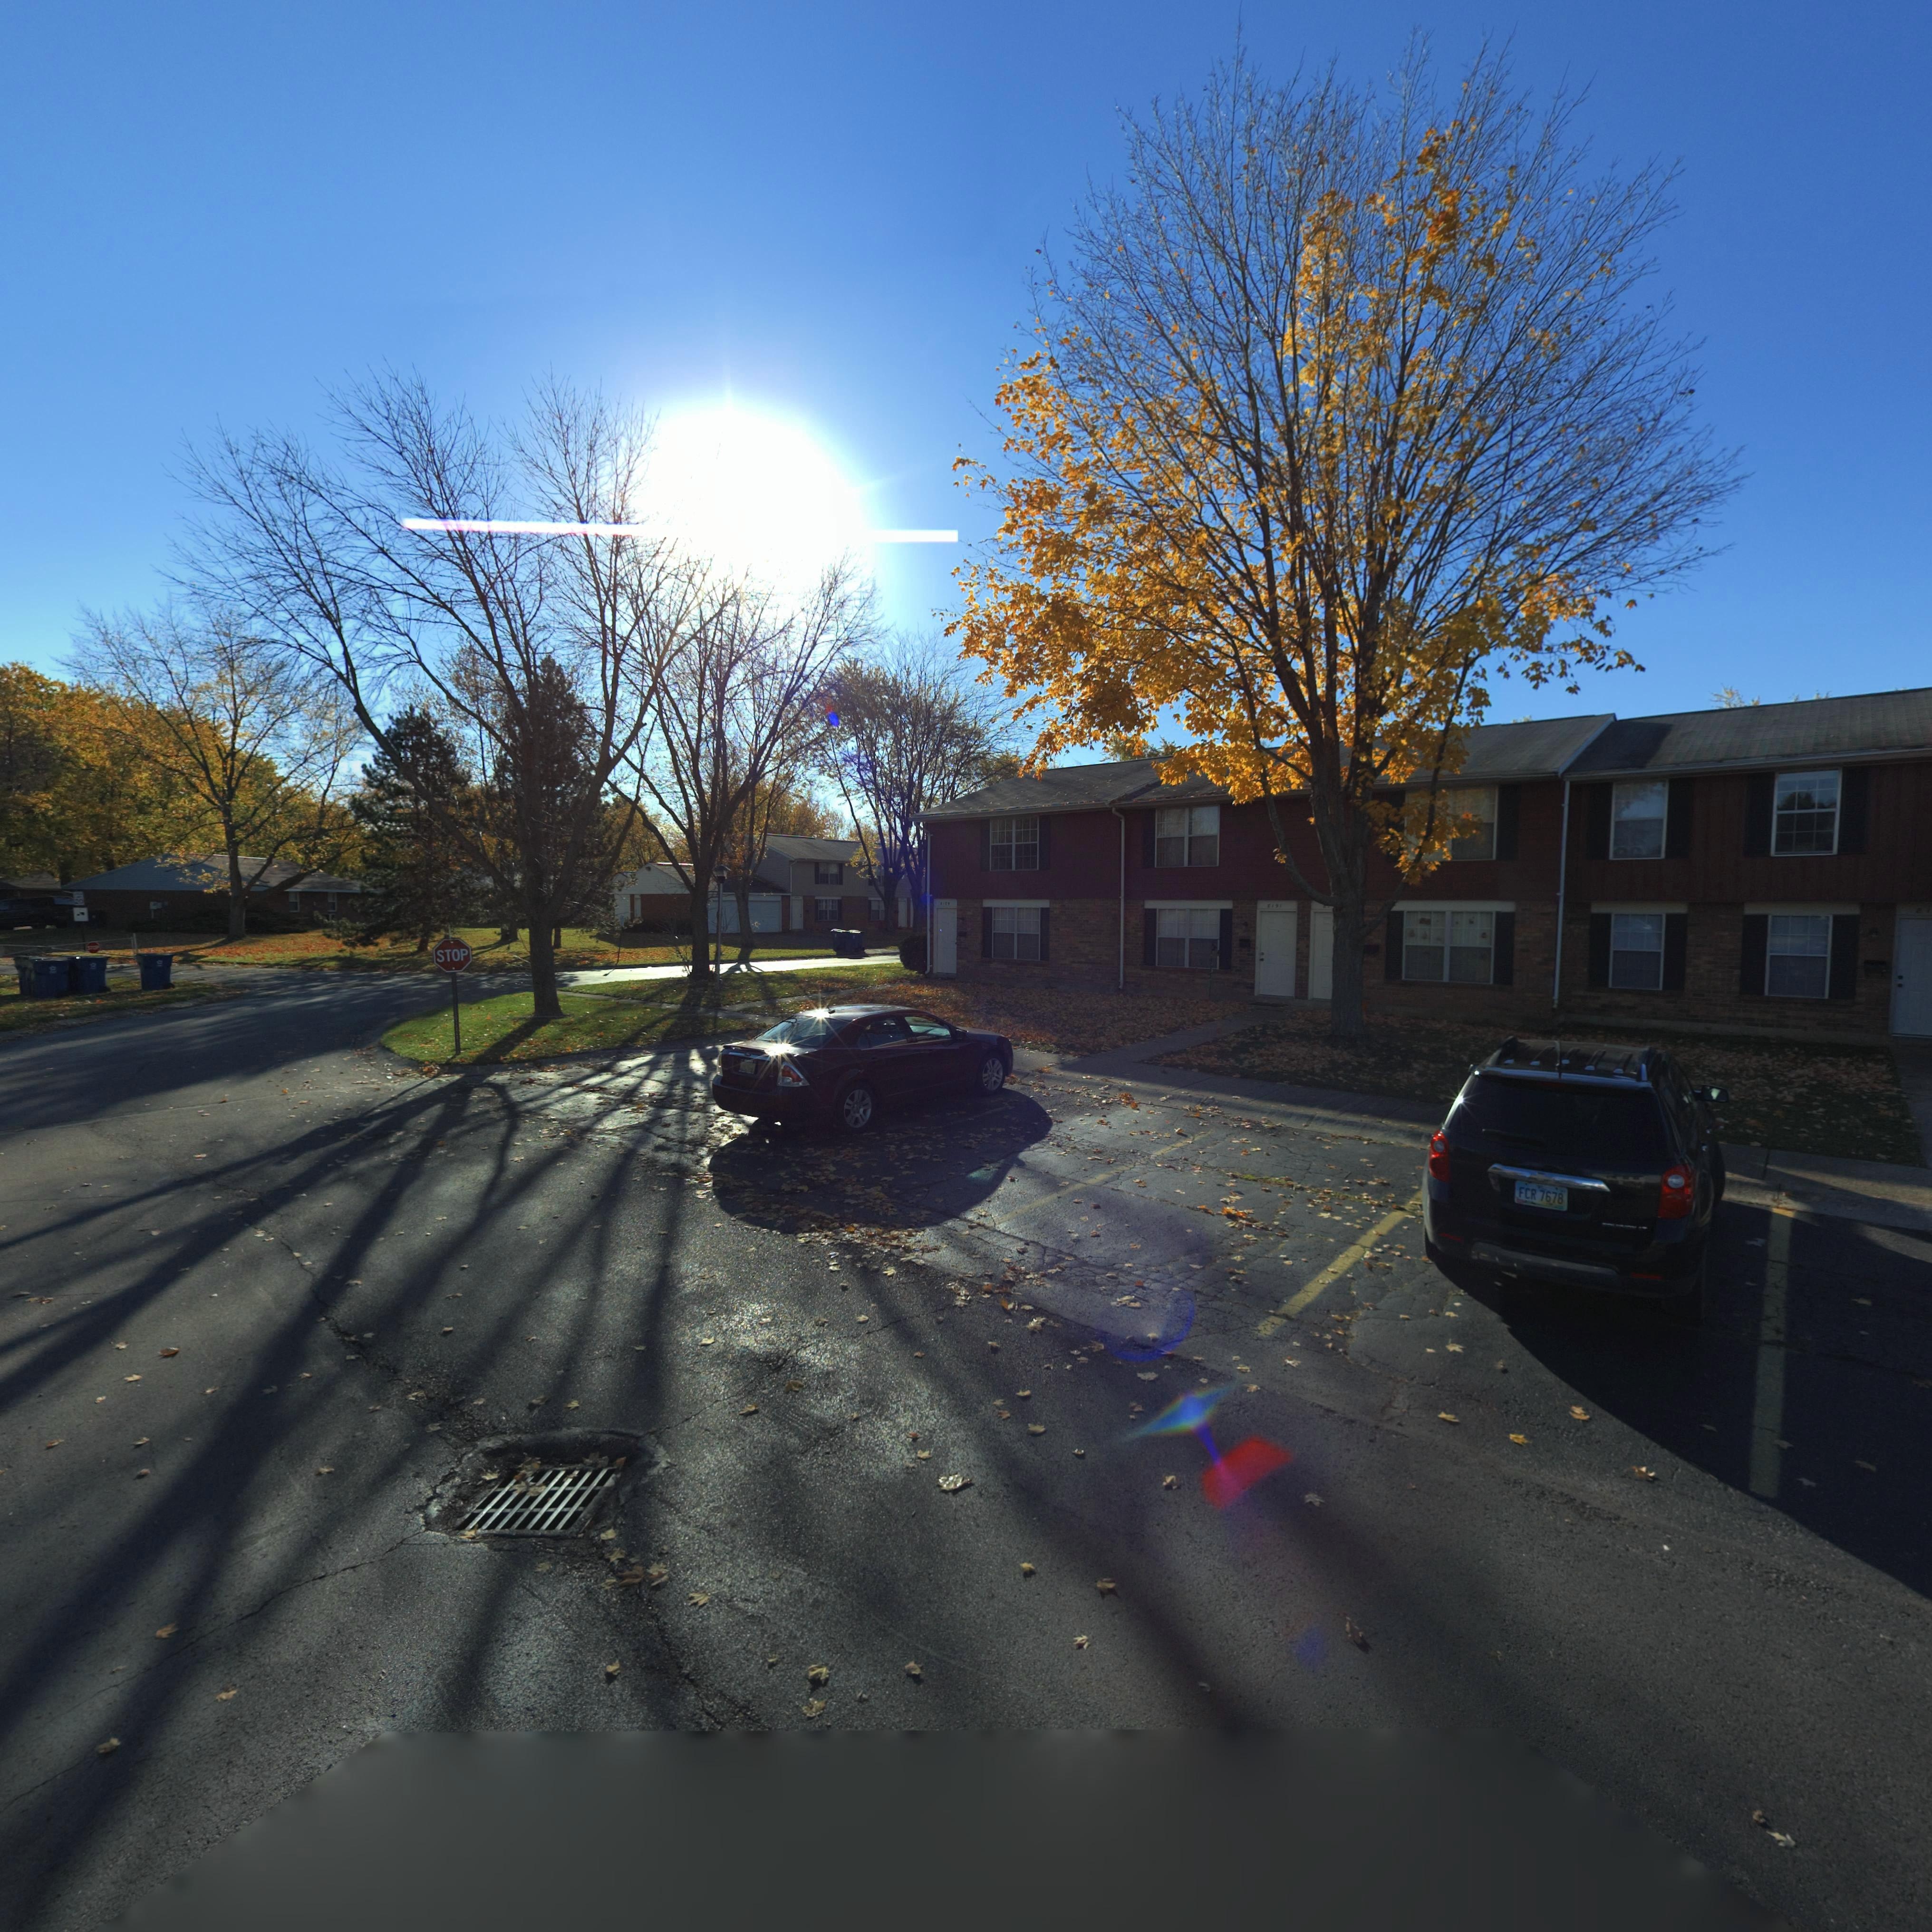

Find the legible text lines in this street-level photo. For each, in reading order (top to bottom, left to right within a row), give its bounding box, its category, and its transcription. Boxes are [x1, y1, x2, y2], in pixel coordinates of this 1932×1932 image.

[939, 901, 950, 906] StreetNumber: 8**9
[1266, 903, 1282, 908] StreetNumber: 8391
[1915, 907, 1922, 914] StreetNumber: 8